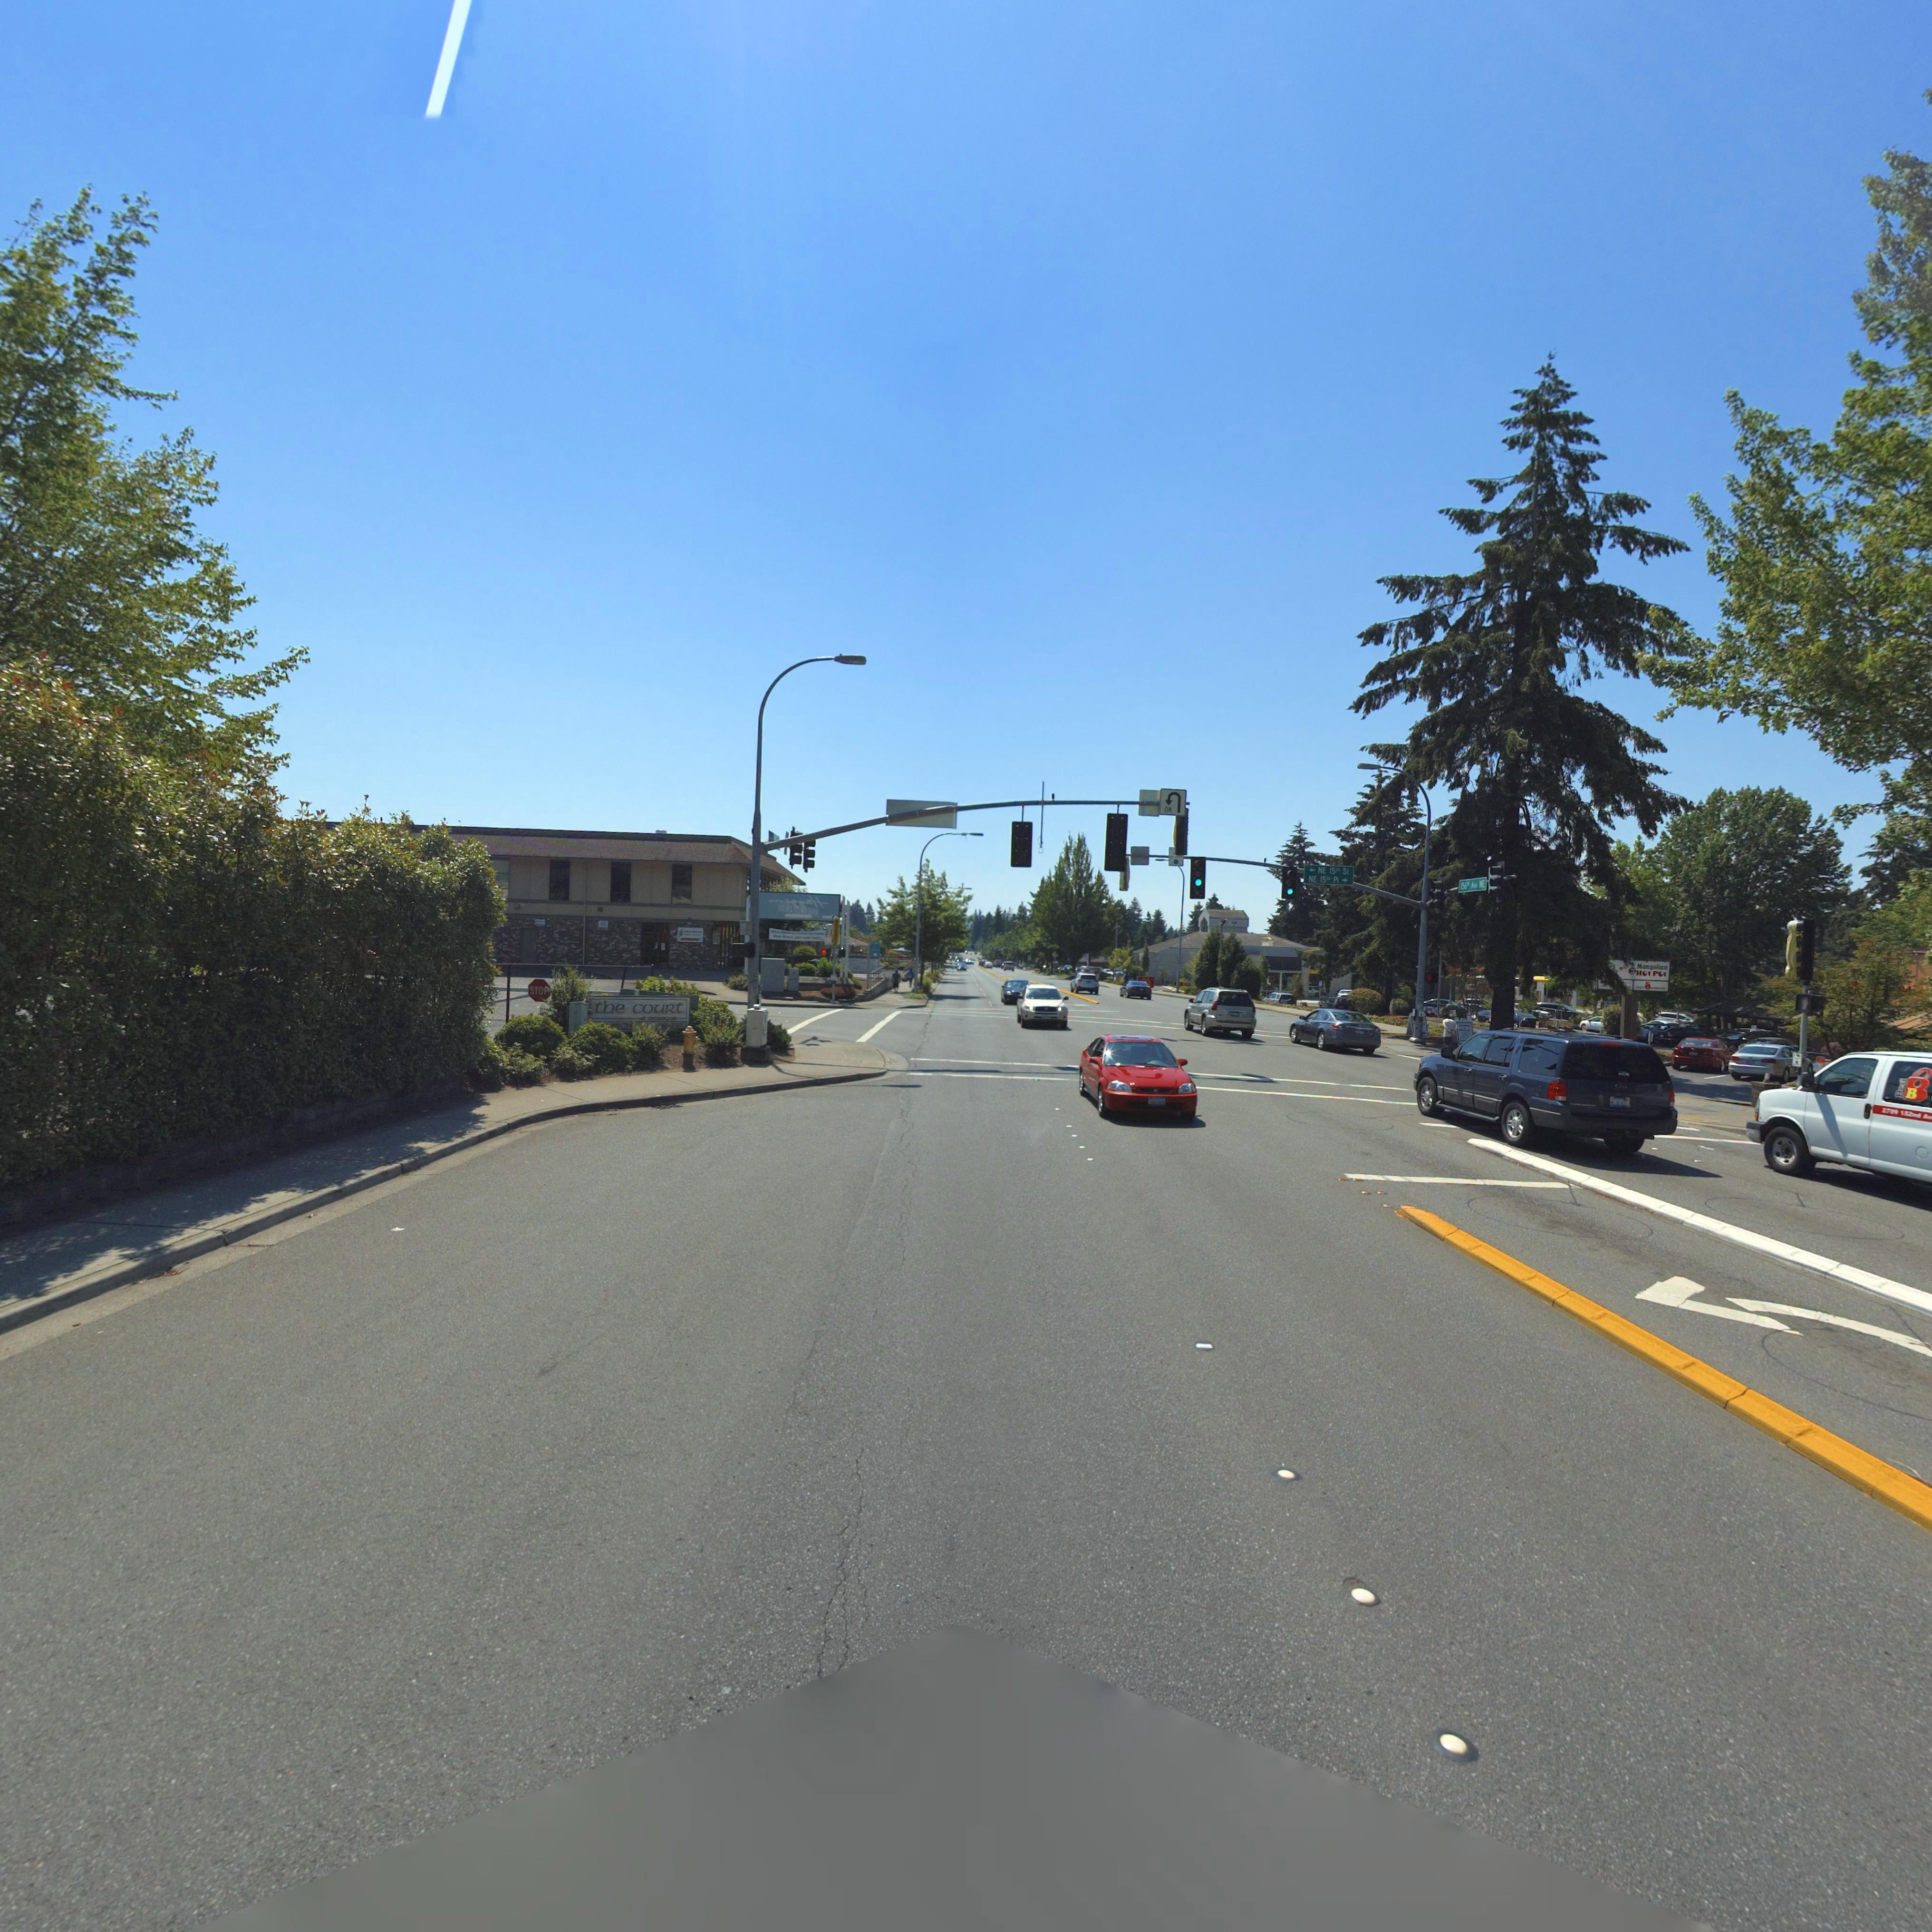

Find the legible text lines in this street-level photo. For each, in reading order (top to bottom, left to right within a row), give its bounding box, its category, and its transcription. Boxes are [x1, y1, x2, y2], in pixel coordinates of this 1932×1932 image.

[1317, 867, 1349, 875] StreetName: NE 15** St
[1308, 875, 1339, 884] StreetName: NE 15** Pl
[1460, 879, 1485, 889] StreetName: 156** A** *E
[1635, 970, 1667, 976] BusinessName: Hot Pot
[594, 999, 685, 1014] BusinessName: the couRt